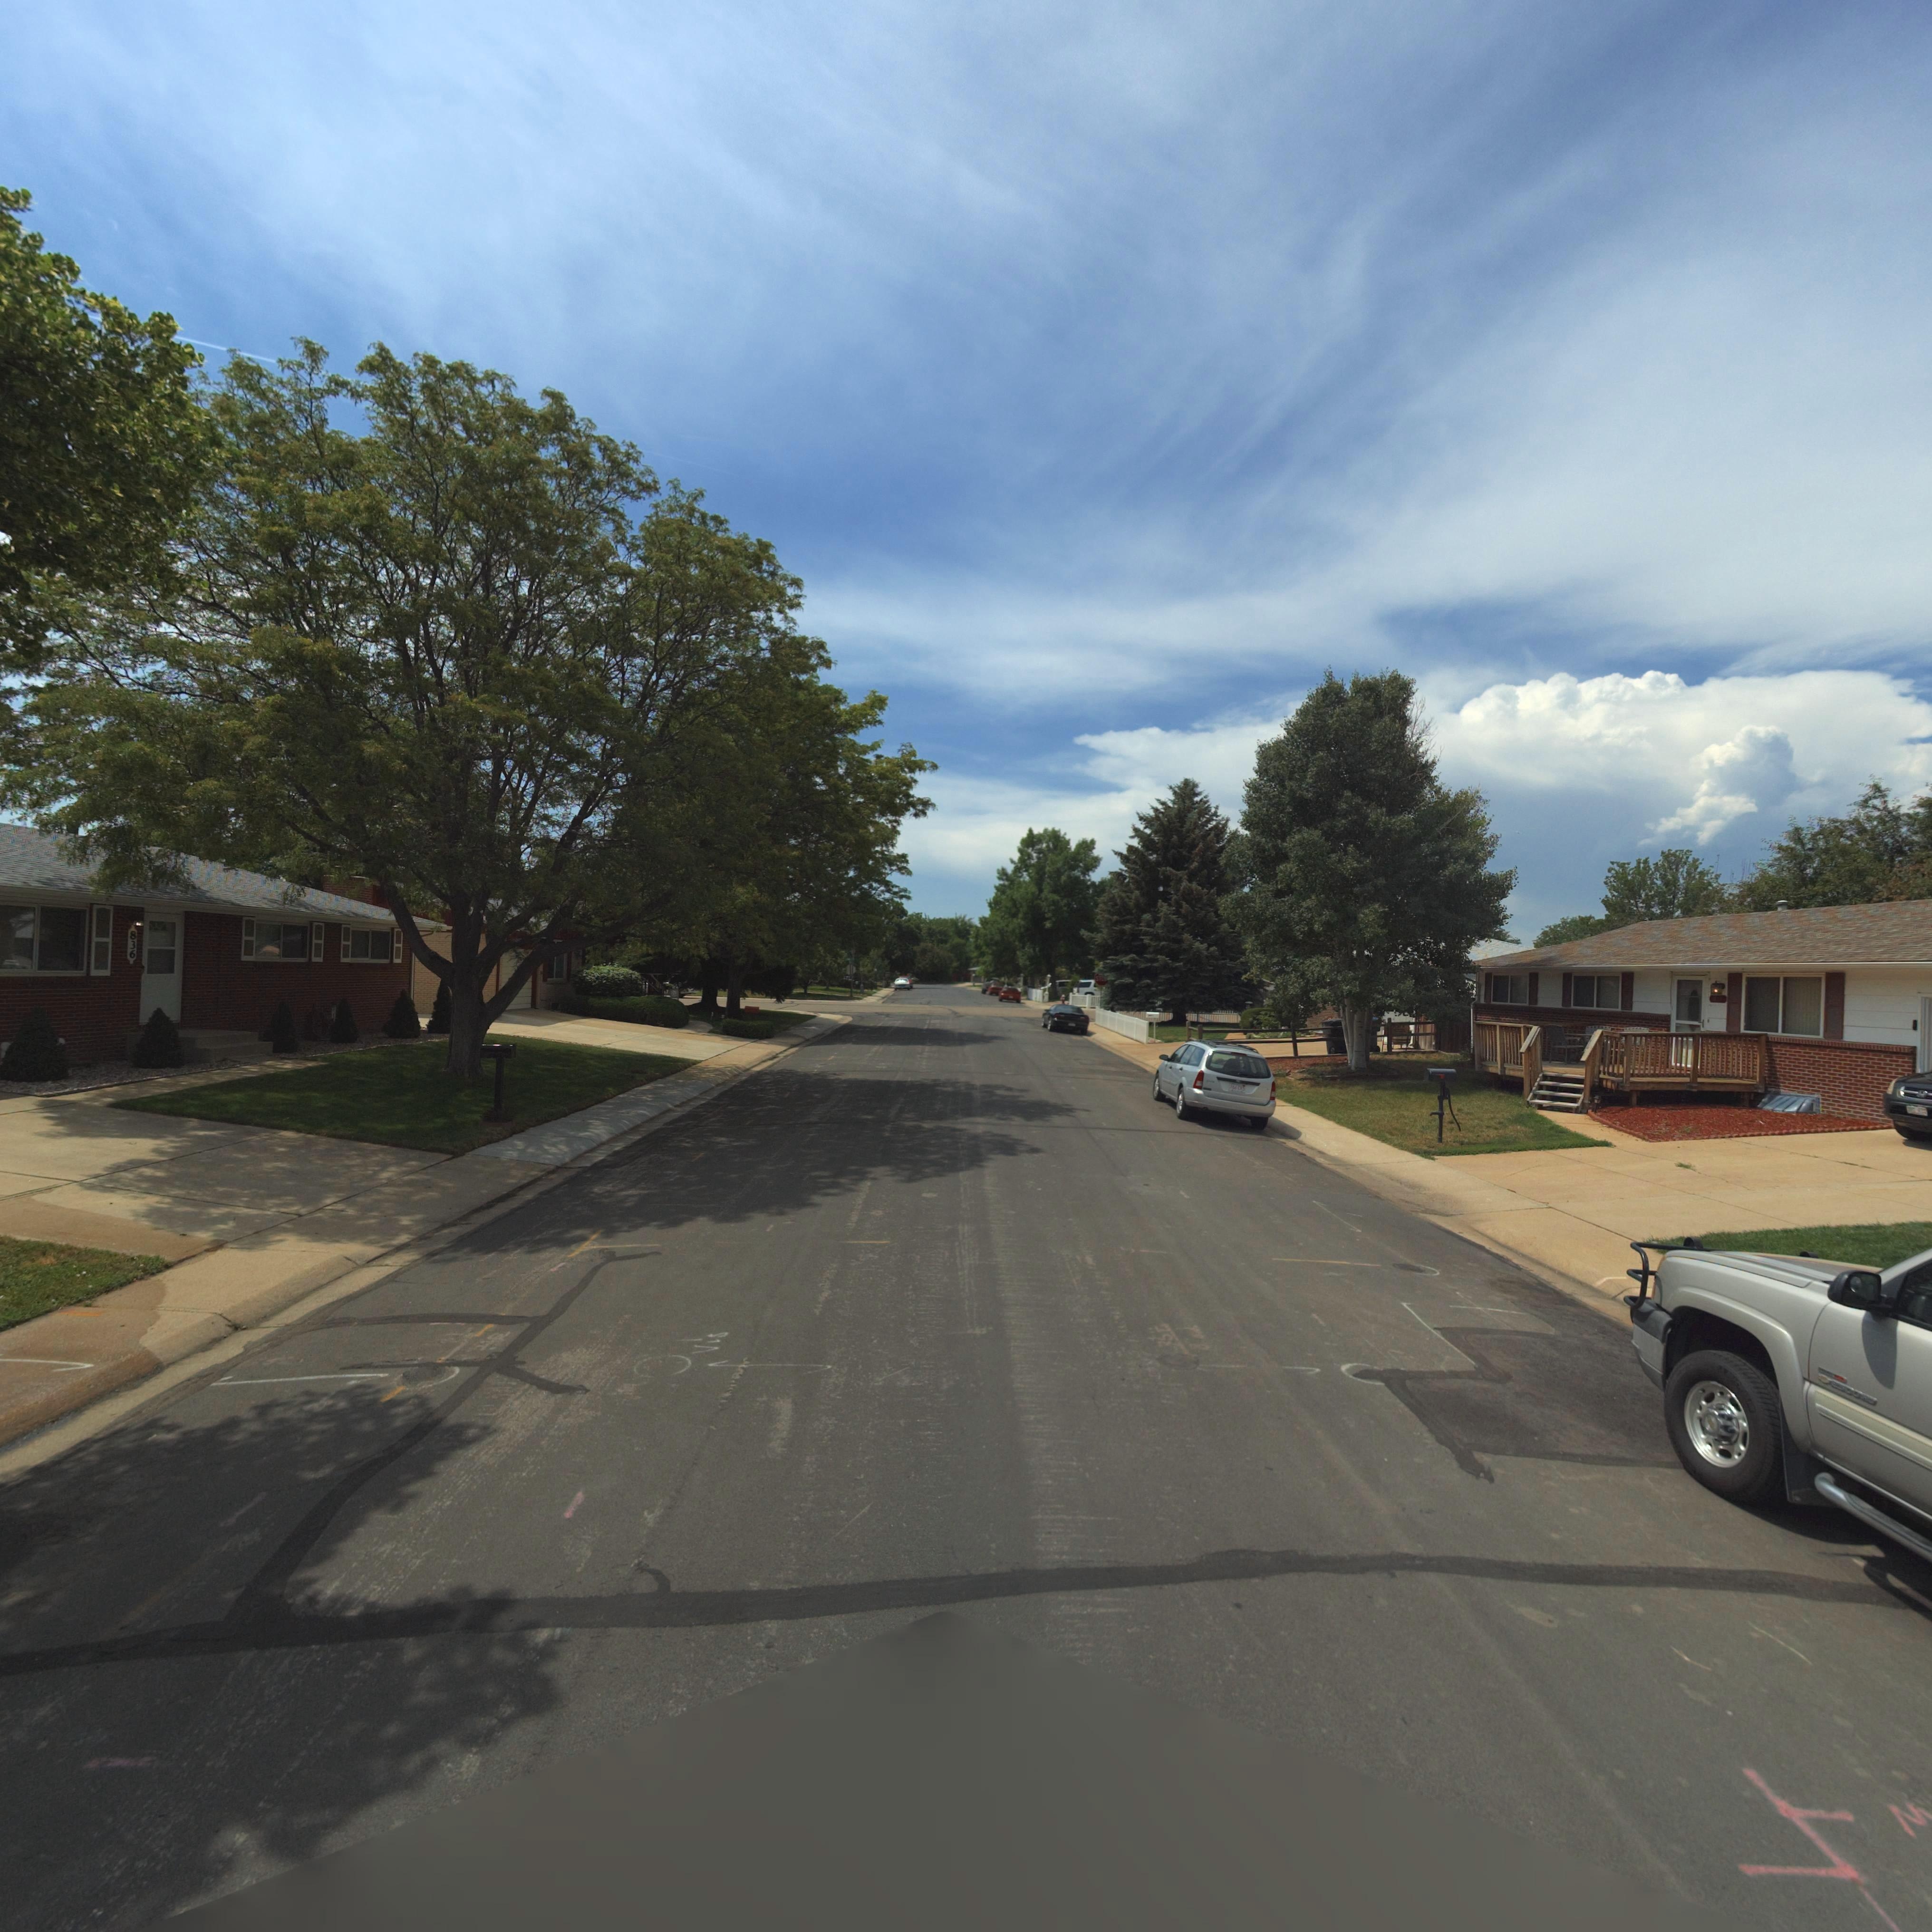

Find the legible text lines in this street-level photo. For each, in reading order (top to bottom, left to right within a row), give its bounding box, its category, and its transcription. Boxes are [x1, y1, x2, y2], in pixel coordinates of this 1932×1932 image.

[129, 929, 136, 958] StreetNumber: 836